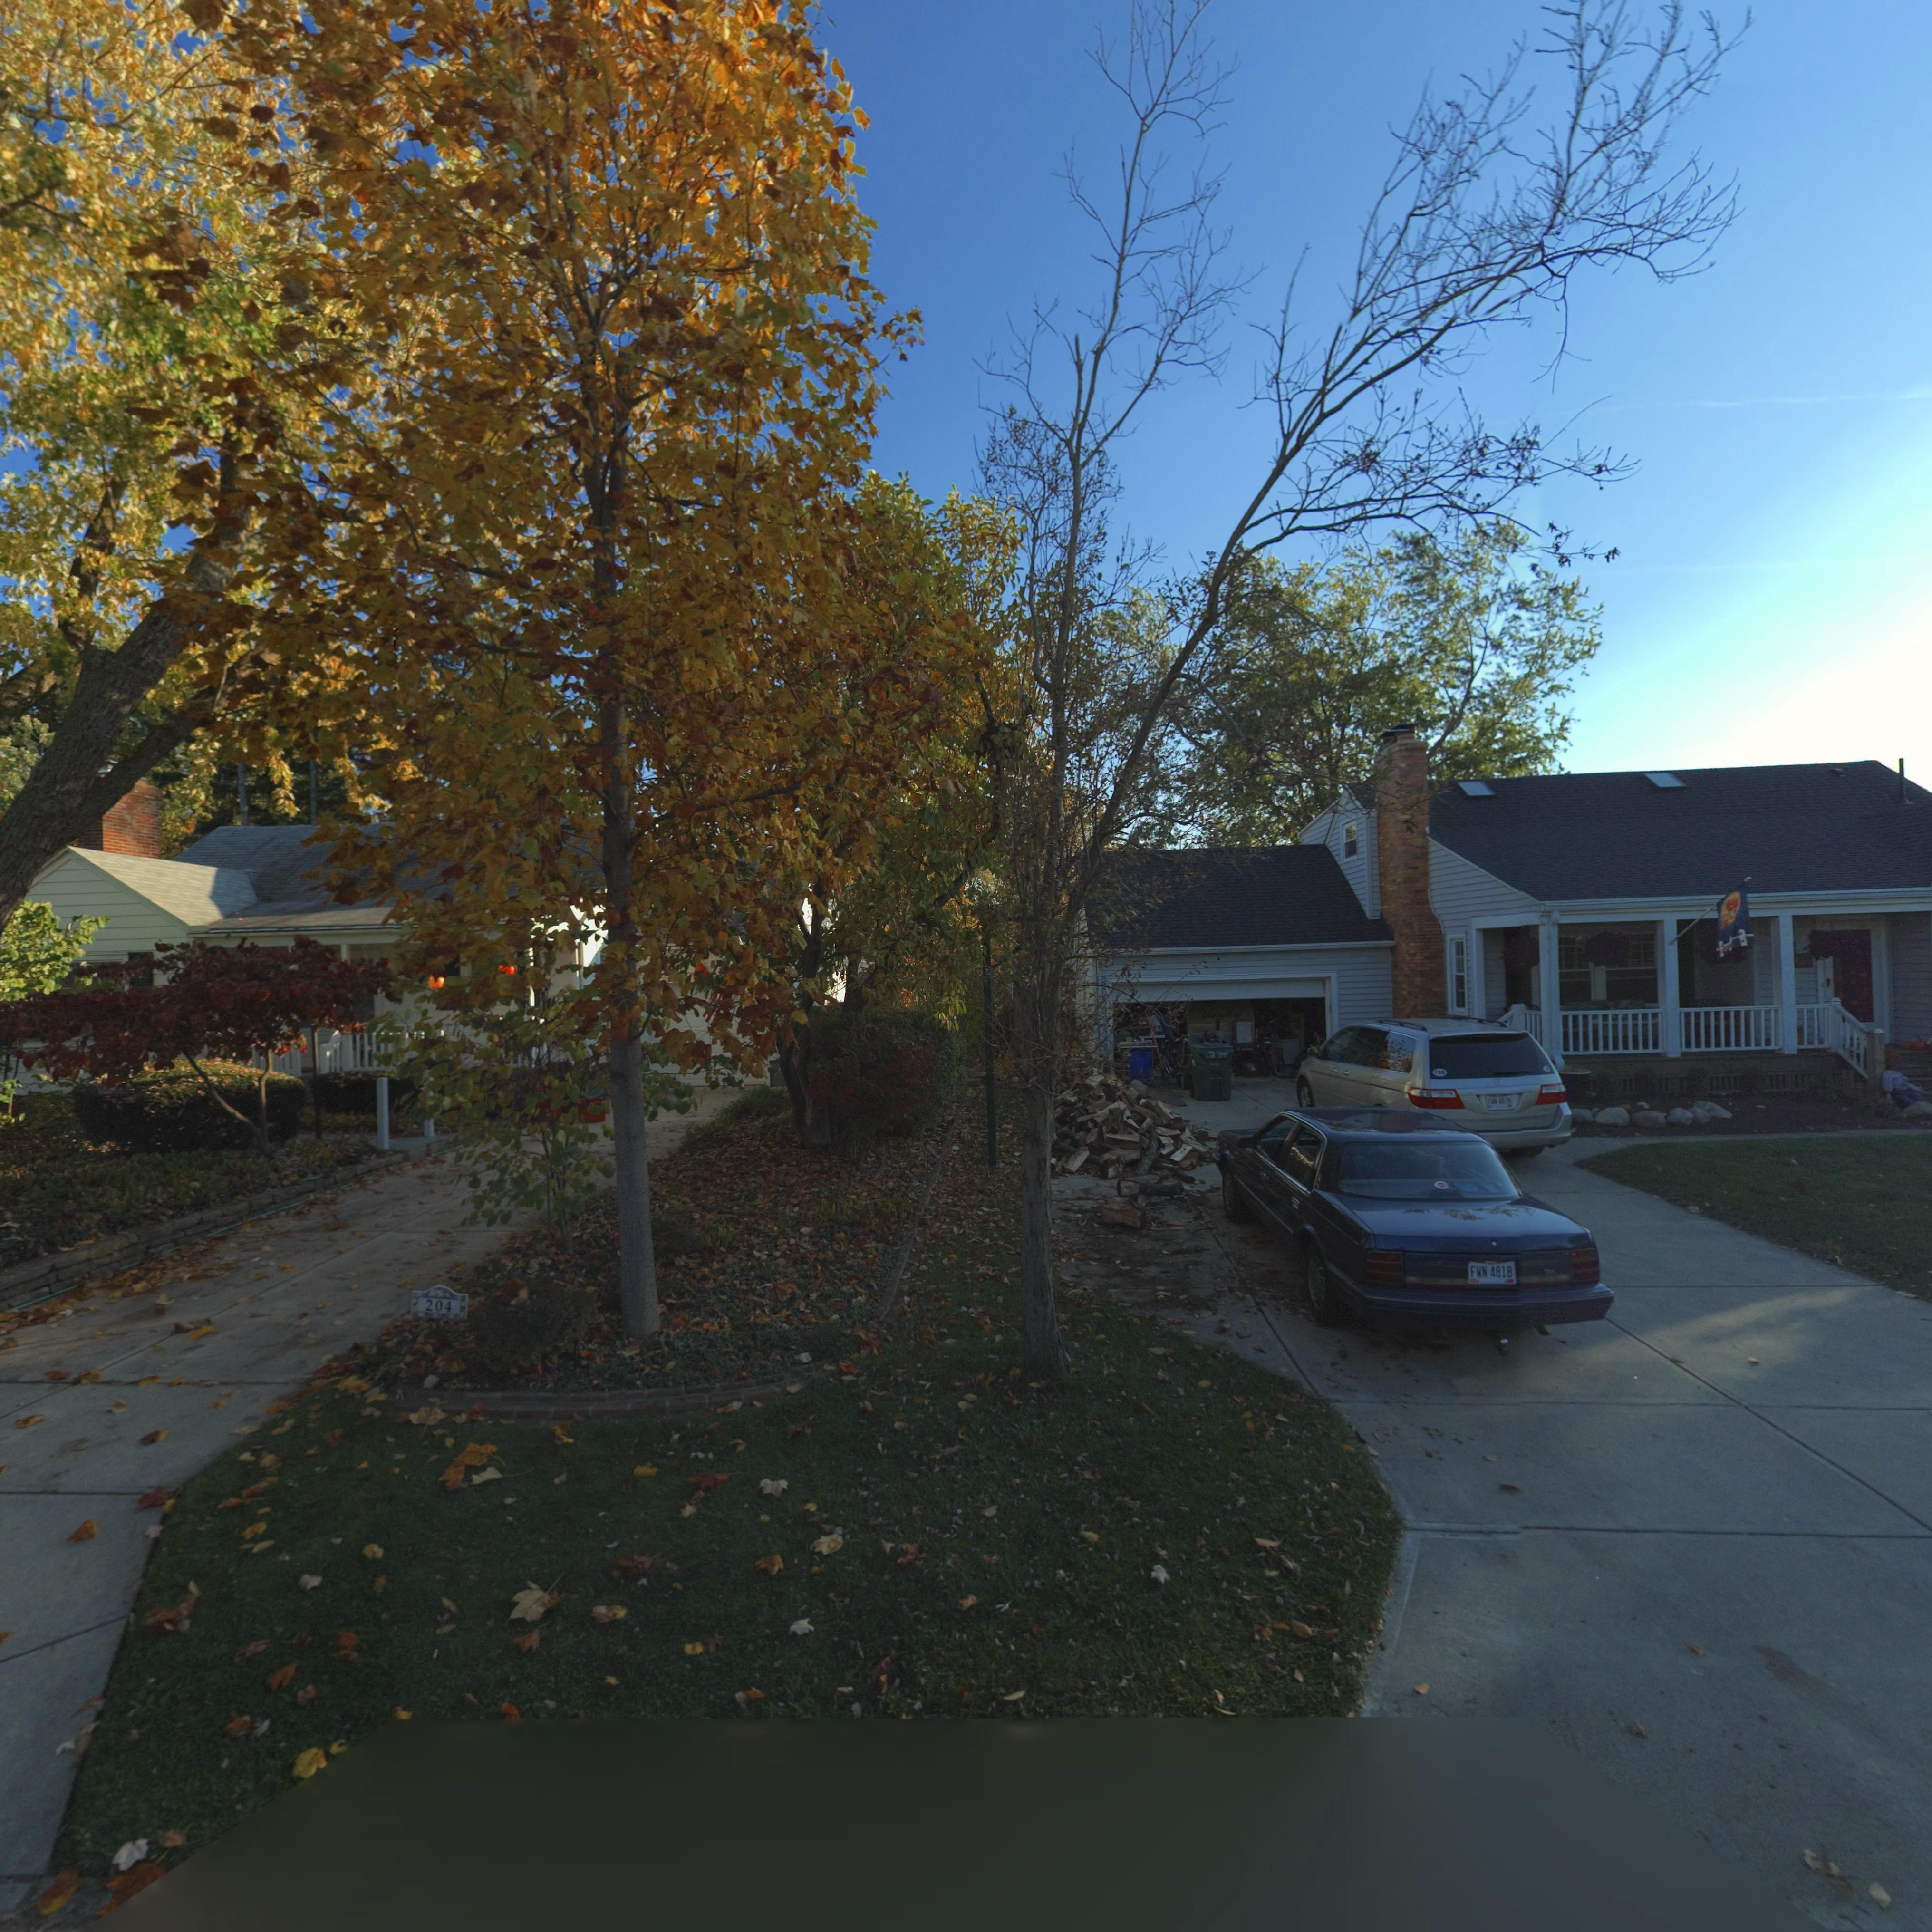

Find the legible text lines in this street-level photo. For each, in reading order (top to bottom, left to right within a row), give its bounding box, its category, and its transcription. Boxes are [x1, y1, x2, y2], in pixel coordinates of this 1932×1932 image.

[425, 1299, 453, 1314] StreetNumber: 204